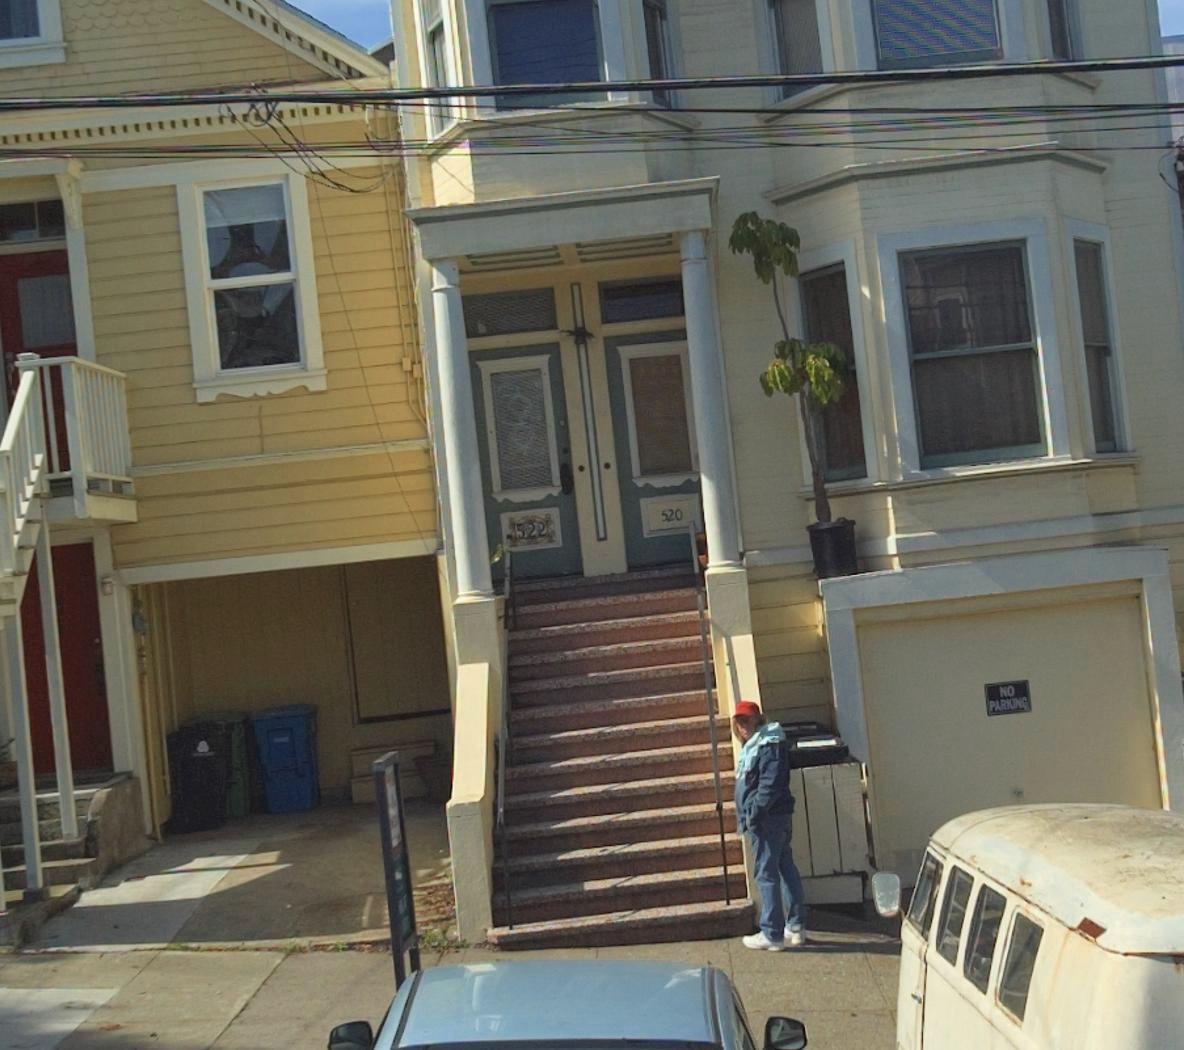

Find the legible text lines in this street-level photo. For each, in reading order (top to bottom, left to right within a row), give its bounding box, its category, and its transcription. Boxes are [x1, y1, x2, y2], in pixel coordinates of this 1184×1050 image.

[661, 508, 684, 524] StreetNumber: 520
[515, 520, 547, 541] StreetNumber: 522
[998, 683, 1016, 699] None: NO
[989, 695, 1029, 713] None: PARKING